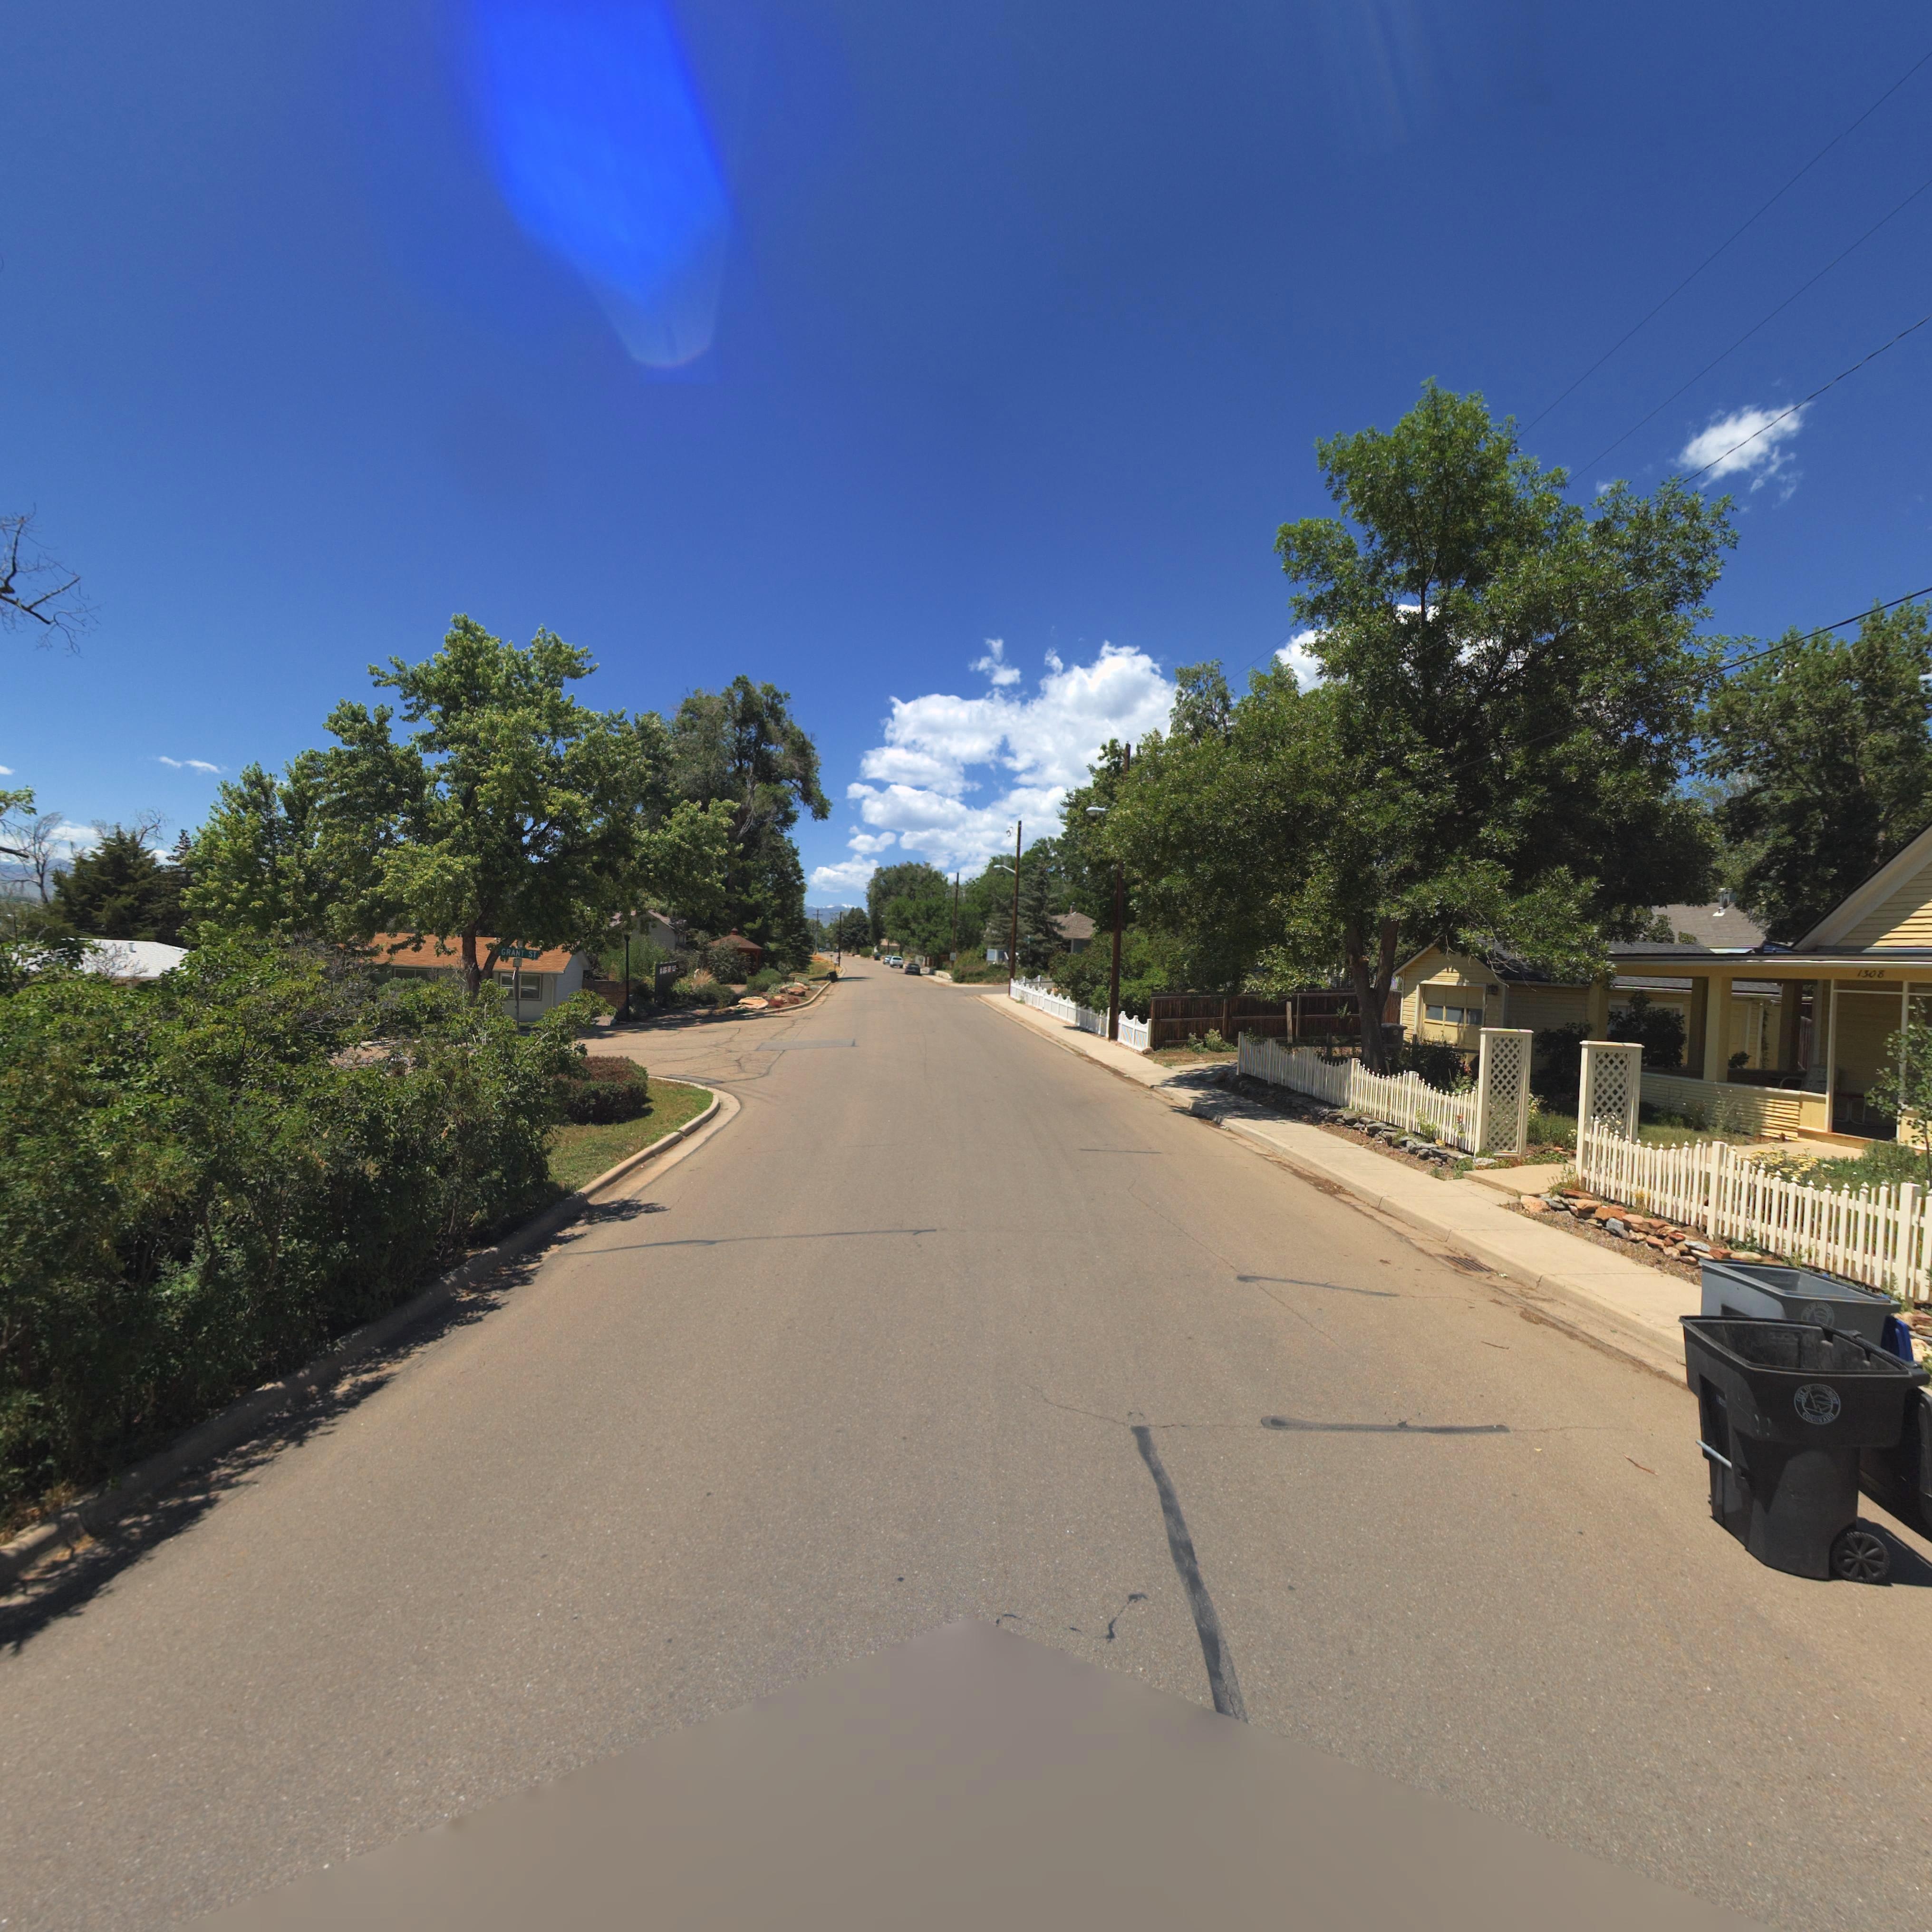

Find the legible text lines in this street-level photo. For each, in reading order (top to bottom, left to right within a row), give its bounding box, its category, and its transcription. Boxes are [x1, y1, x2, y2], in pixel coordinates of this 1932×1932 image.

[501, 948, 537, 958] StreetName: GRANT ST
[1857, 969, 1884, 978] StreetNumber: 1308